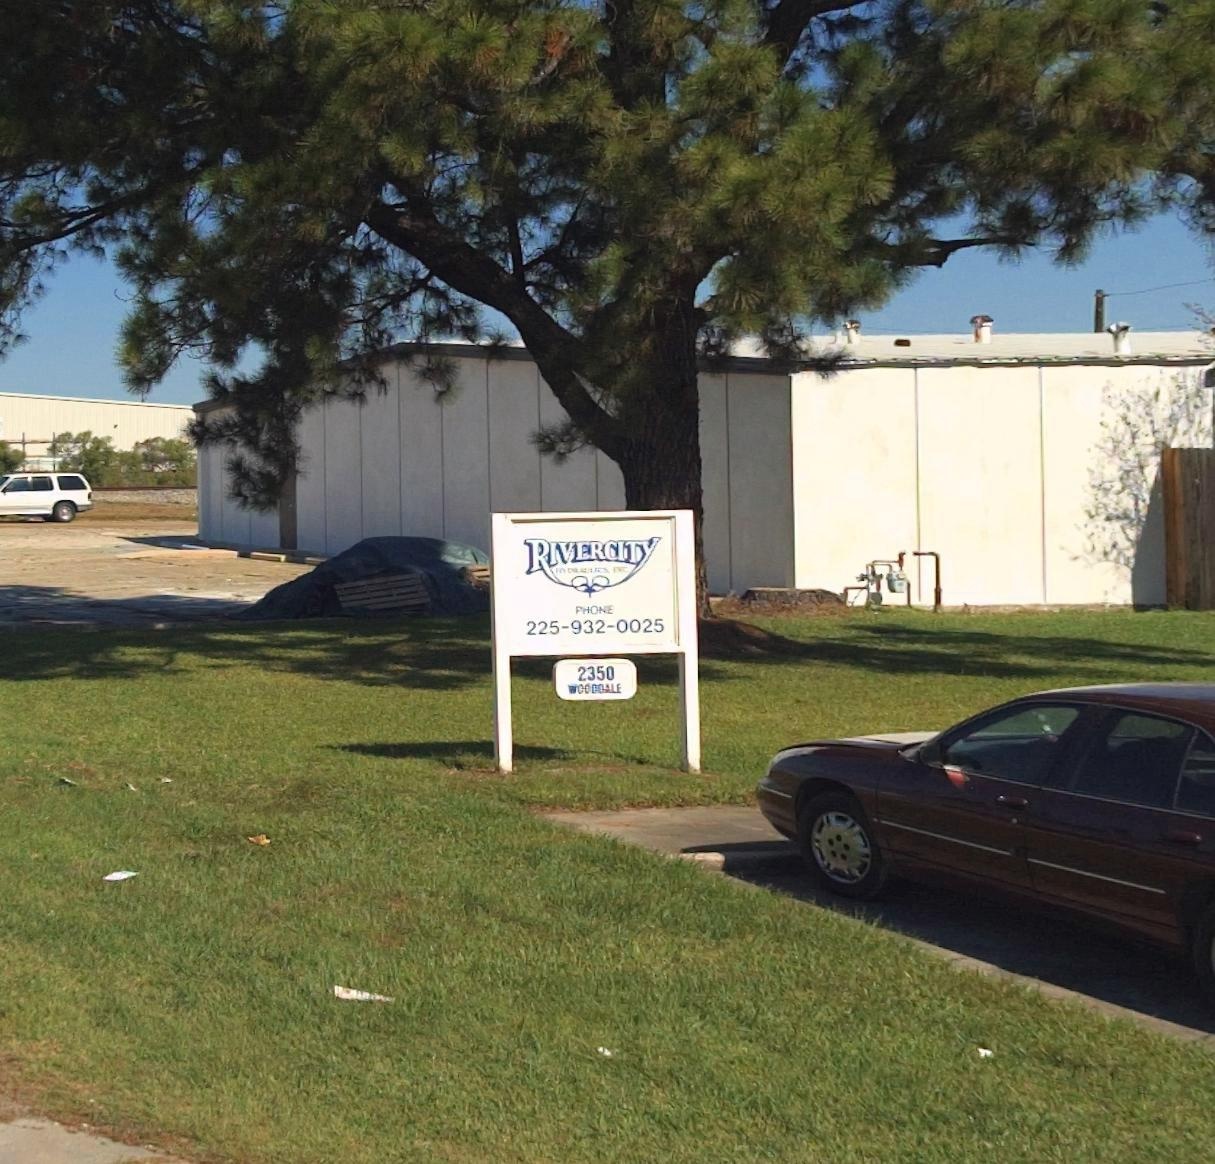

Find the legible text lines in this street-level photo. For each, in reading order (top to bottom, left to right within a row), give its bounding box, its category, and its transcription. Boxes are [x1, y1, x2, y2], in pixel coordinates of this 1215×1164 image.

[522, 535, 668, 576] BusinessName: RIVERCITY
[573, 601, 617, 618] None: PHONE
[524, 615, 667, 638] None: 225-932-0025
[575, 662, 617, 684] StreetNumber: 2350
[564, 679, 624, 698] StreetName: WOO**ALE